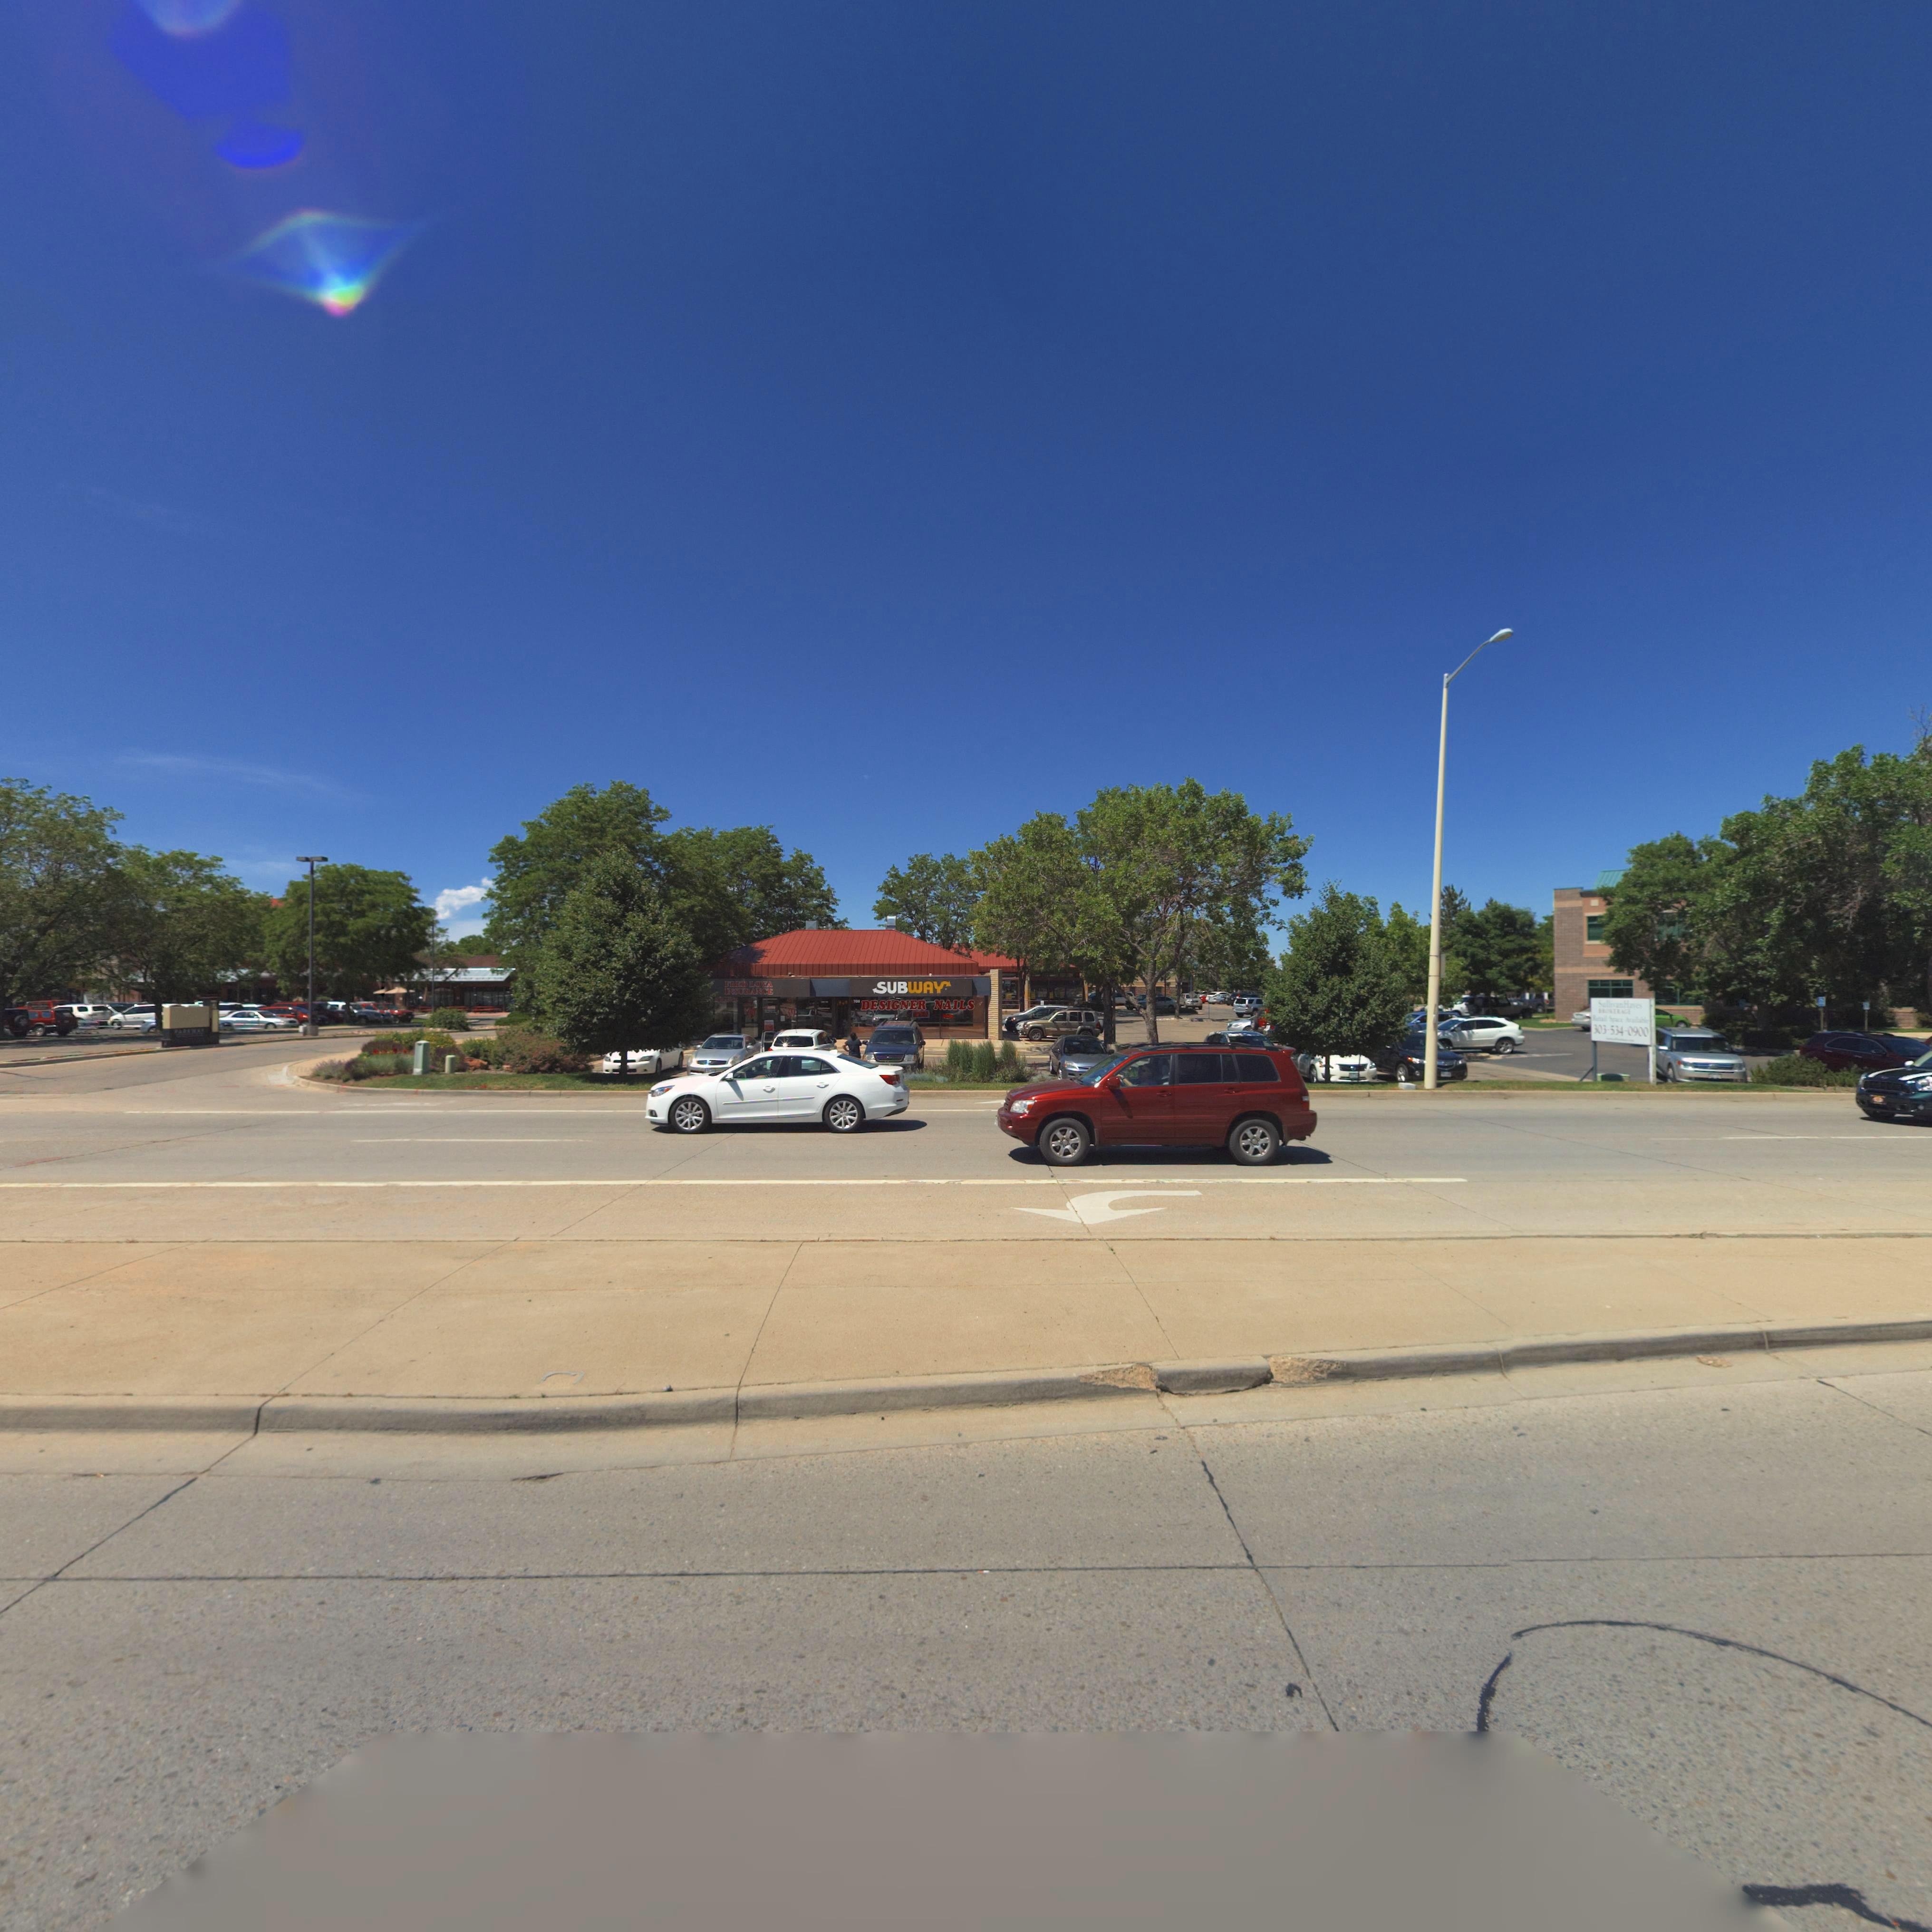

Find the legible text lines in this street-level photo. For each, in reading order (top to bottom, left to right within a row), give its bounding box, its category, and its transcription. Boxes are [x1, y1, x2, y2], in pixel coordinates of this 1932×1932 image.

[724, 980, 773, 987] BusinessName: **** LOYA
[724, 987, 774, 995] BusinessName: **SURANCE
[872, 981, 952, 995] BusinessName: SUBWAY
[853, 999, 860, 1003] StreetNumber: 700
[860, 999, 976, 1011] BusinessName: DESIGNER NAILS